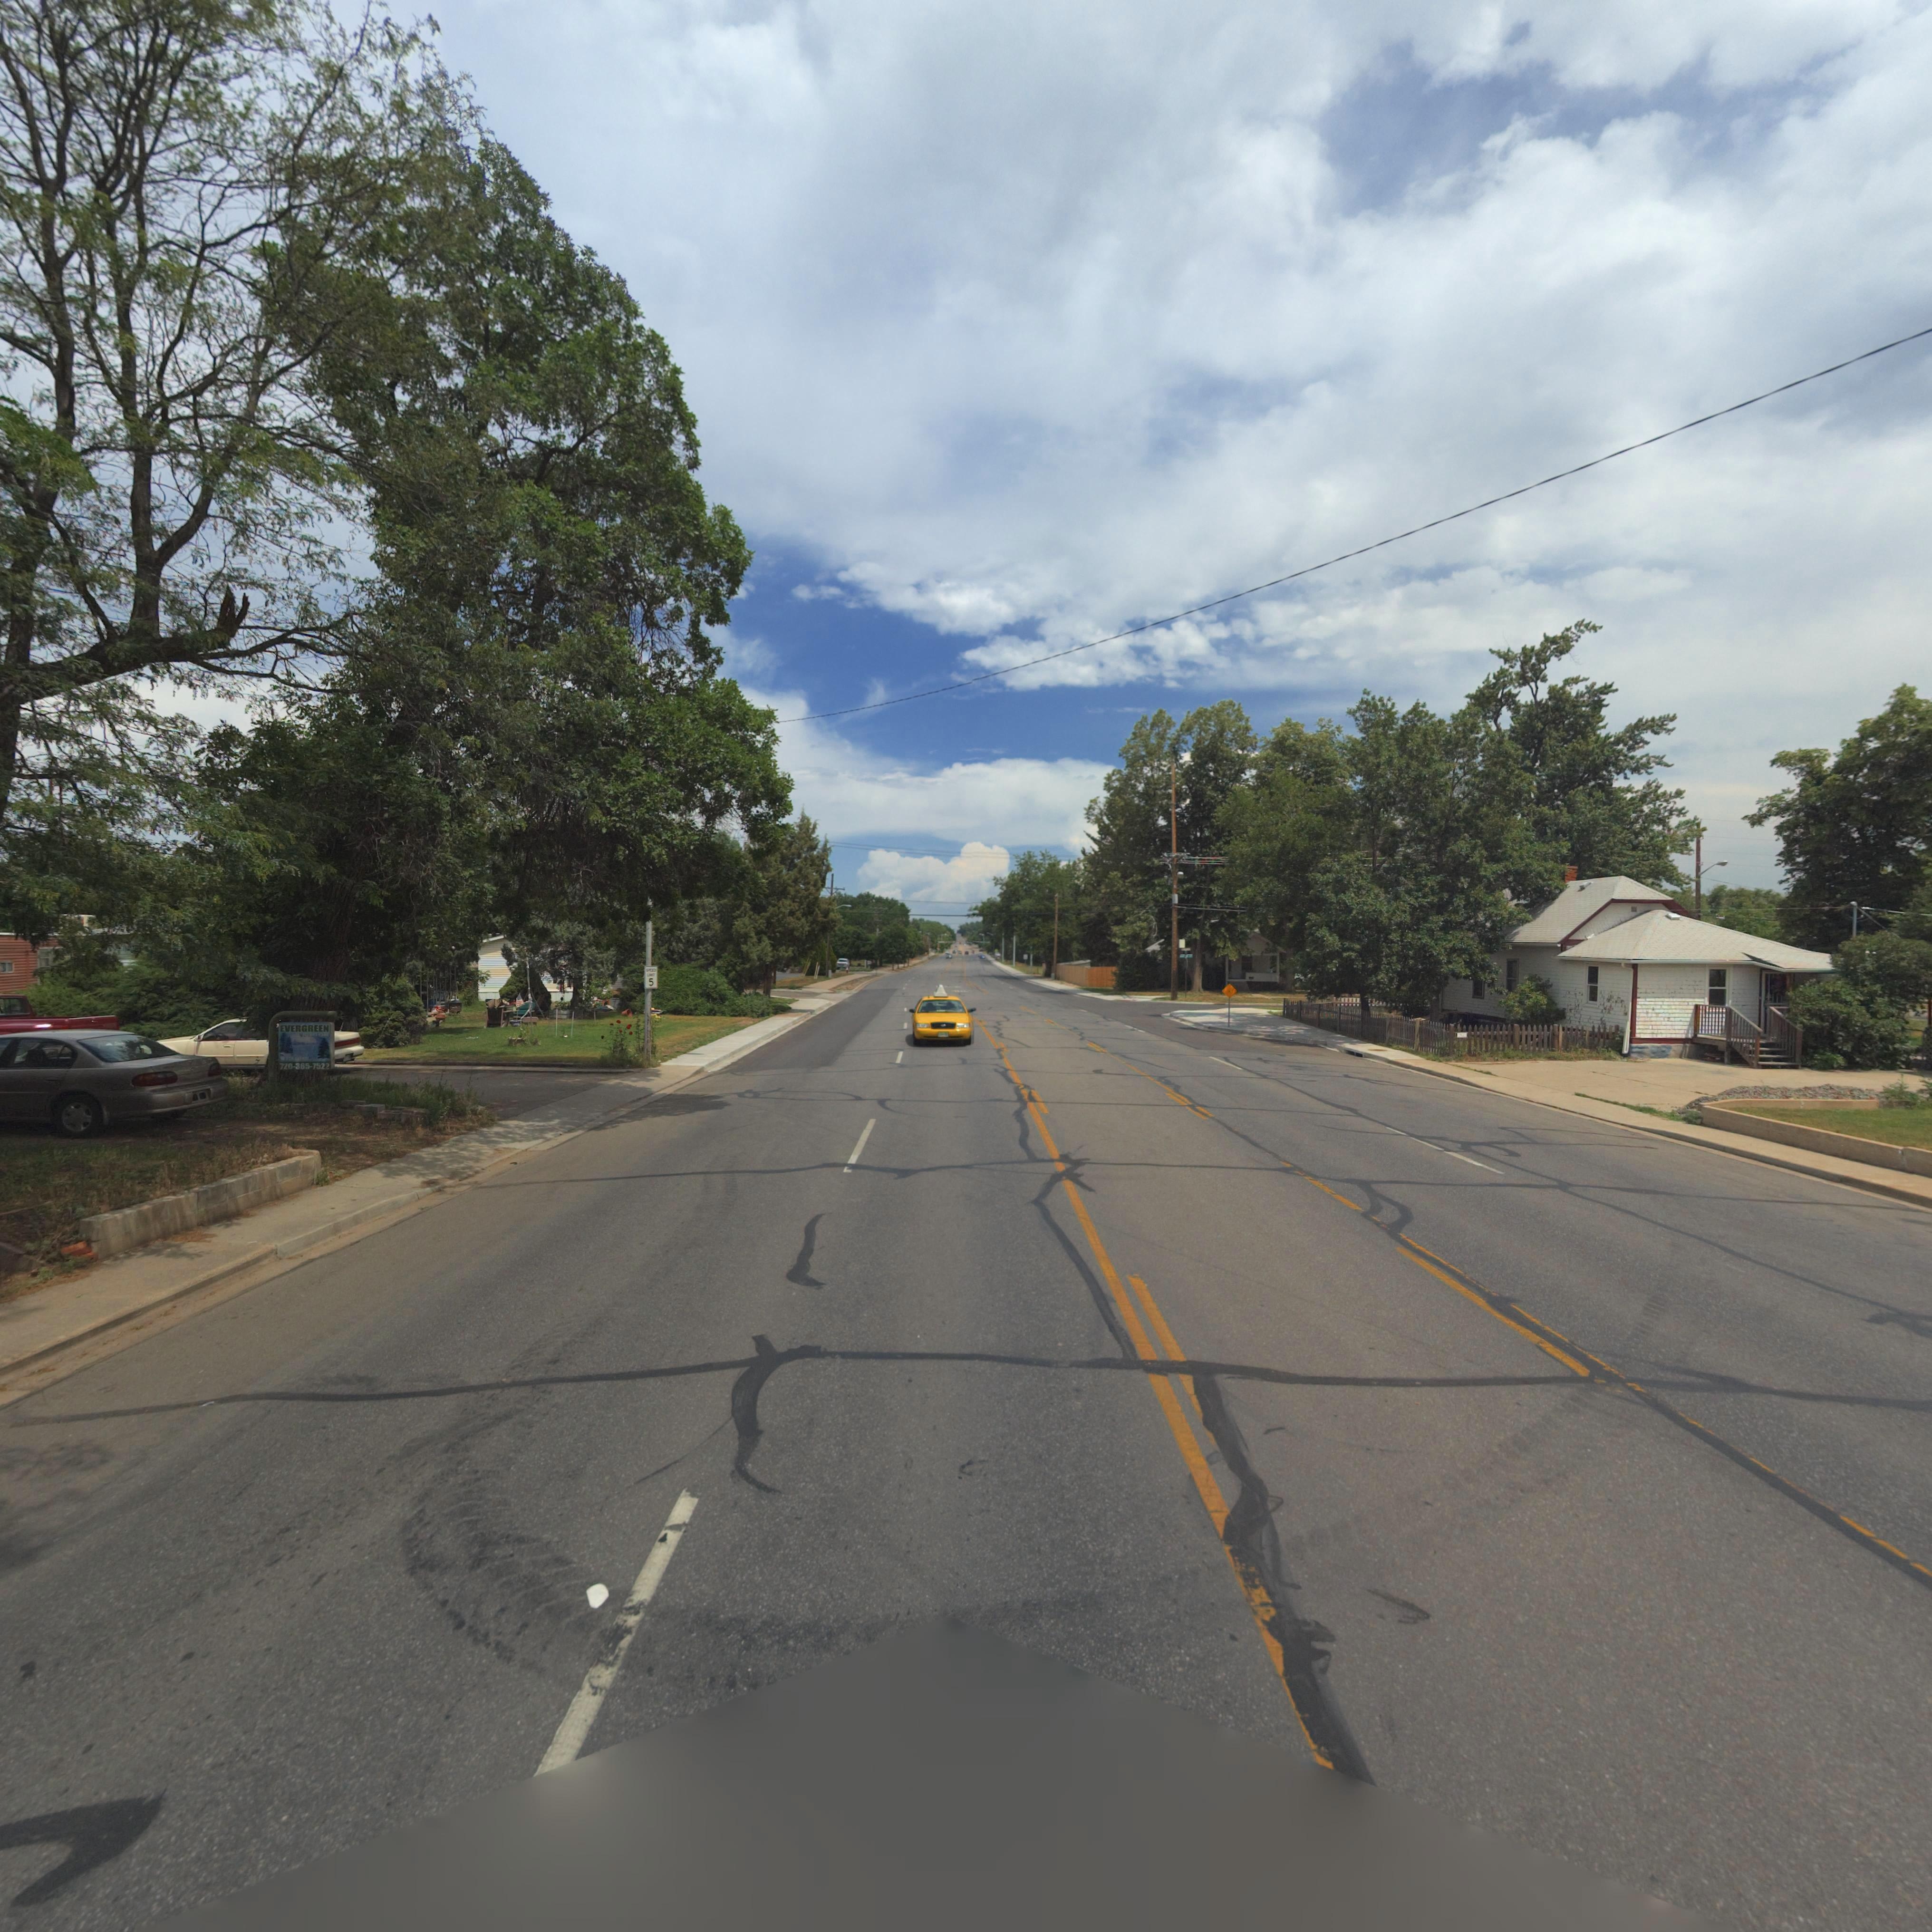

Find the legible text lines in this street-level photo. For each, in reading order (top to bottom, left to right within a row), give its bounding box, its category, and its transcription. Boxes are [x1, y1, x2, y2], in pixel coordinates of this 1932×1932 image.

[280, 1024, 329, 1032] BusinessName: EVERGREEN